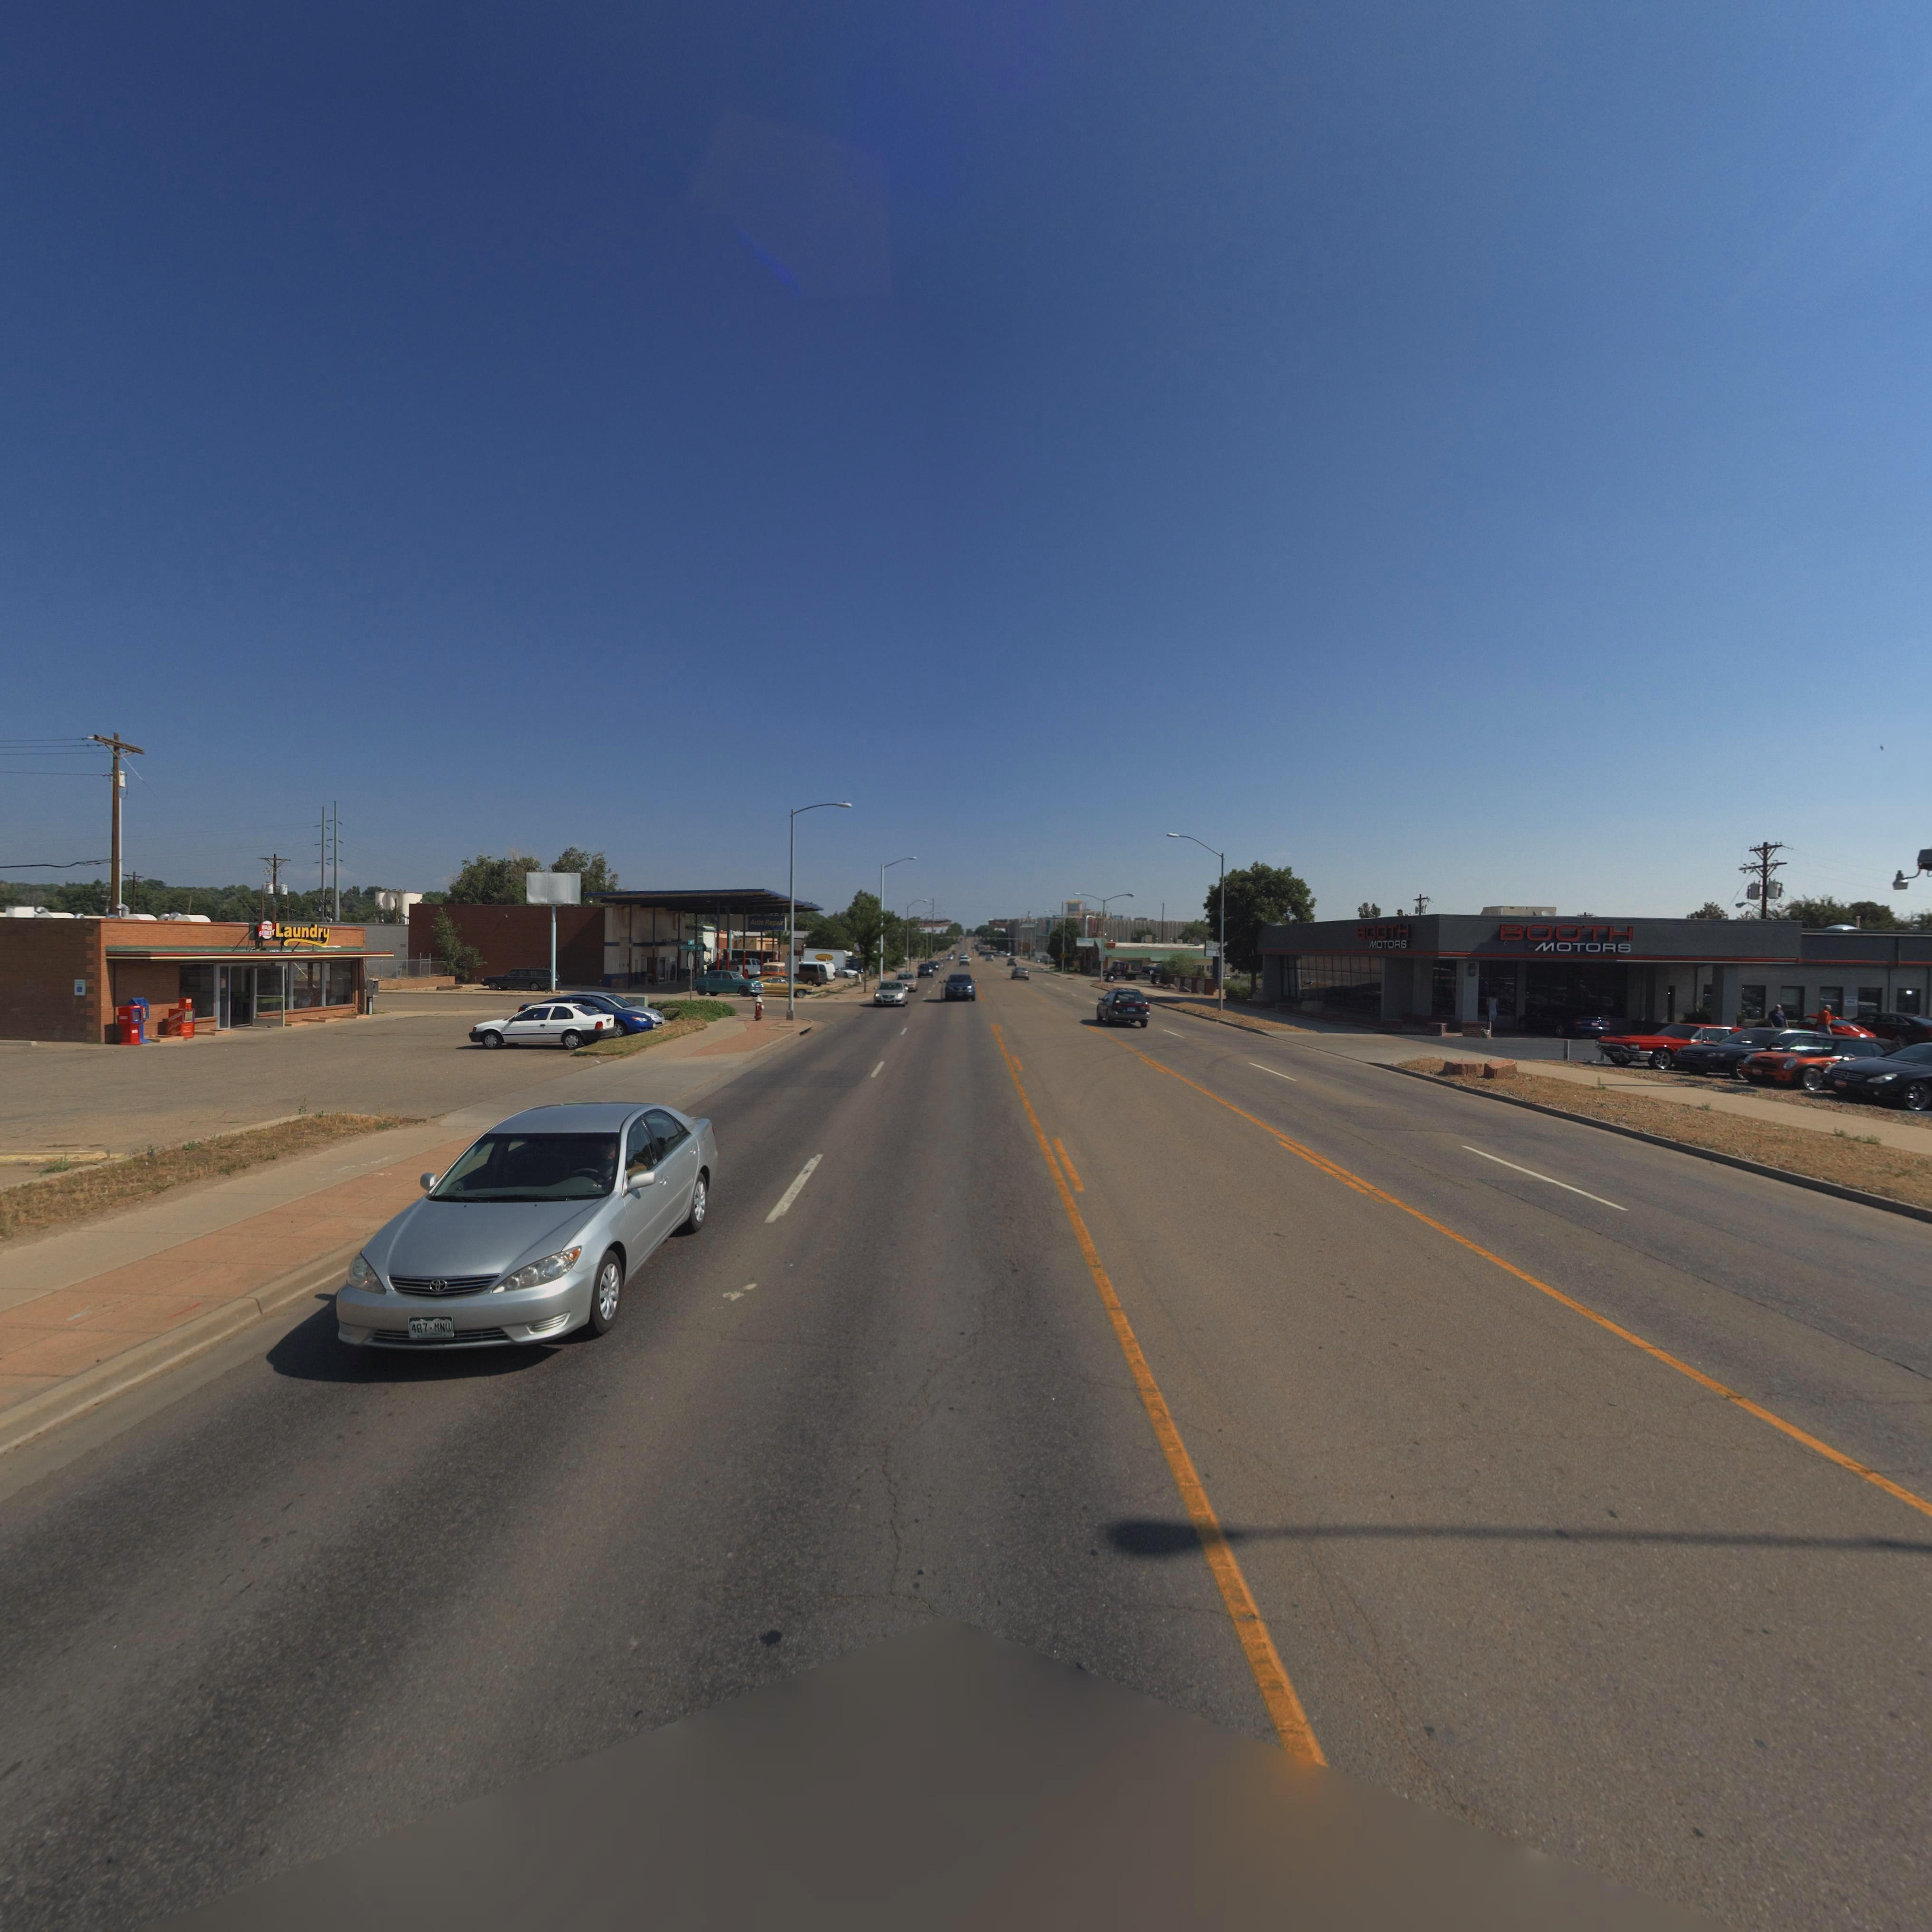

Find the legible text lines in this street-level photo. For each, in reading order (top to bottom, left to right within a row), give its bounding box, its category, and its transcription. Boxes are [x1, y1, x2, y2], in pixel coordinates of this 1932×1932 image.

[258, 928, 275, 937] BusinessName: S***ET
[275, 922, 330, 946] BusinessName: Laundry
[1356, 923, 1409, 940] BusinessName: BOOTH
[1500, 924, 1633, 941] BusinessName: BOOTH
[680, 945, 703, 950] StreetName: BOST** **
[1368, 939, 1407, 948] BusinessName: MOTORS
[1534, 942, 1631, 953] BusinessName: MOTORS